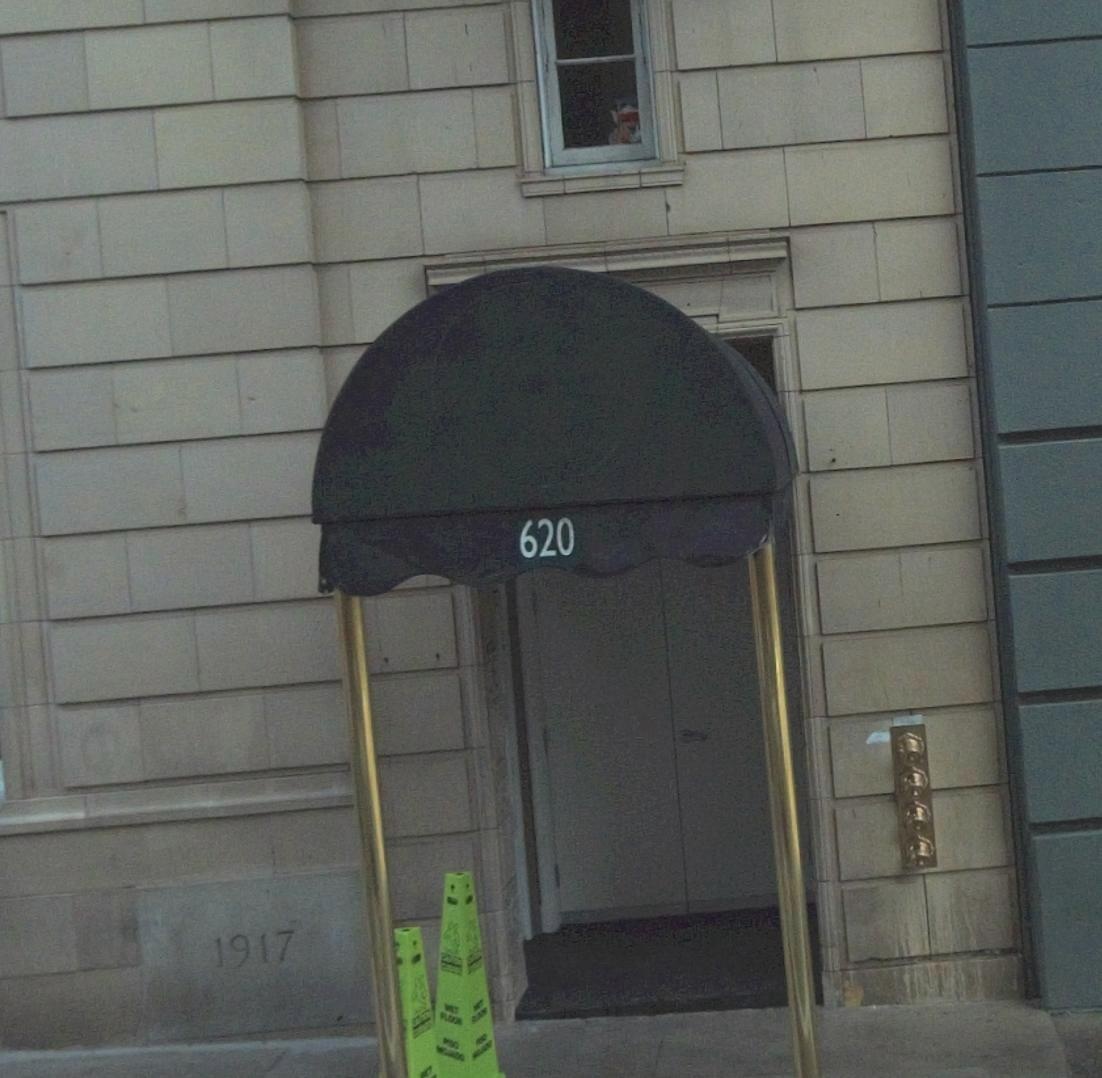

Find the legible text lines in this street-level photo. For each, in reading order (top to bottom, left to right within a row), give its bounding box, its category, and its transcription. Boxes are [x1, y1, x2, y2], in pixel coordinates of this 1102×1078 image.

[514, 512, 579, 561] StreetNumber: 620
[208, 924, 305, 973] StreetNumber: 1917